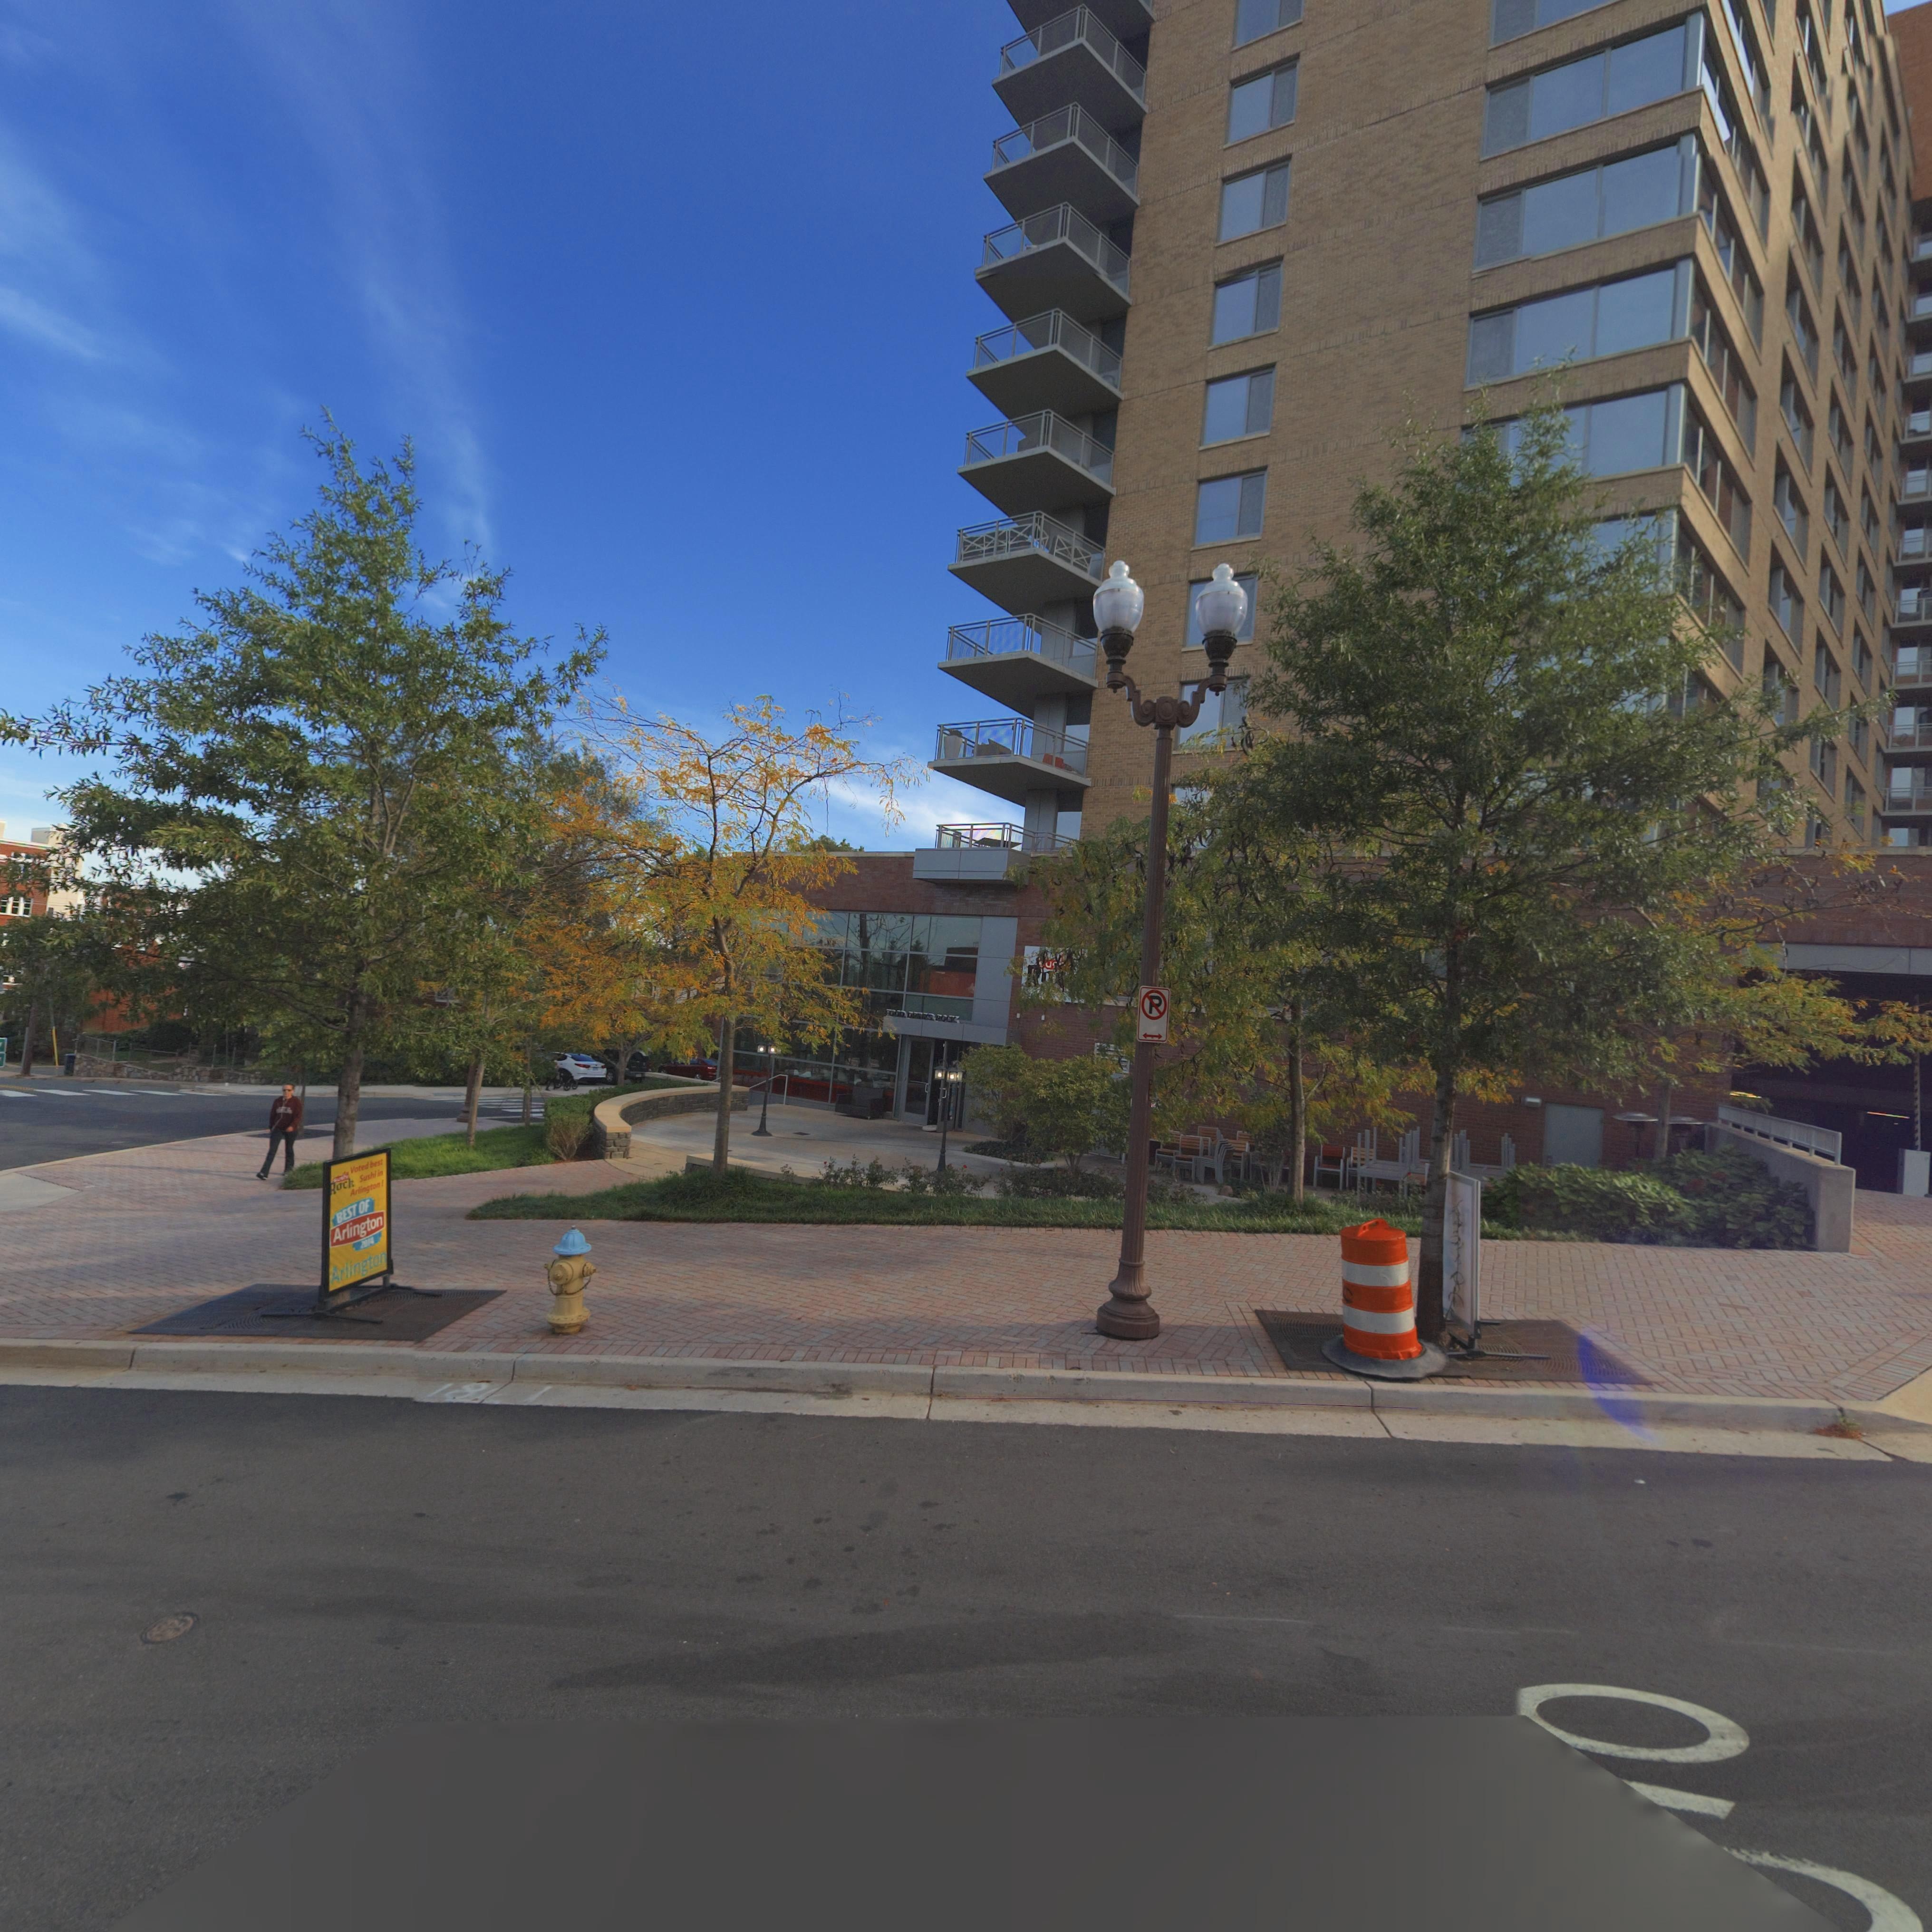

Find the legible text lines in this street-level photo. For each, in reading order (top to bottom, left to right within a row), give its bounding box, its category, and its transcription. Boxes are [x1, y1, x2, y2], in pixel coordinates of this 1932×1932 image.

[335, 1176, 357, 1193] None: ock
[348, 1157, 384, 1175] None: Voted best
[348, 1177, 386, 1199] None: Arlington!
[358, 1167, 385, 1184] None: Sushi in
[334, 1197, 371, 1225] None: BEST OF
[331, 1215, 384, 1245] None: Arlington
[358, 1234, 376, 1251] None: 2014
[328, 1250, 388, 1287] None: Arlington